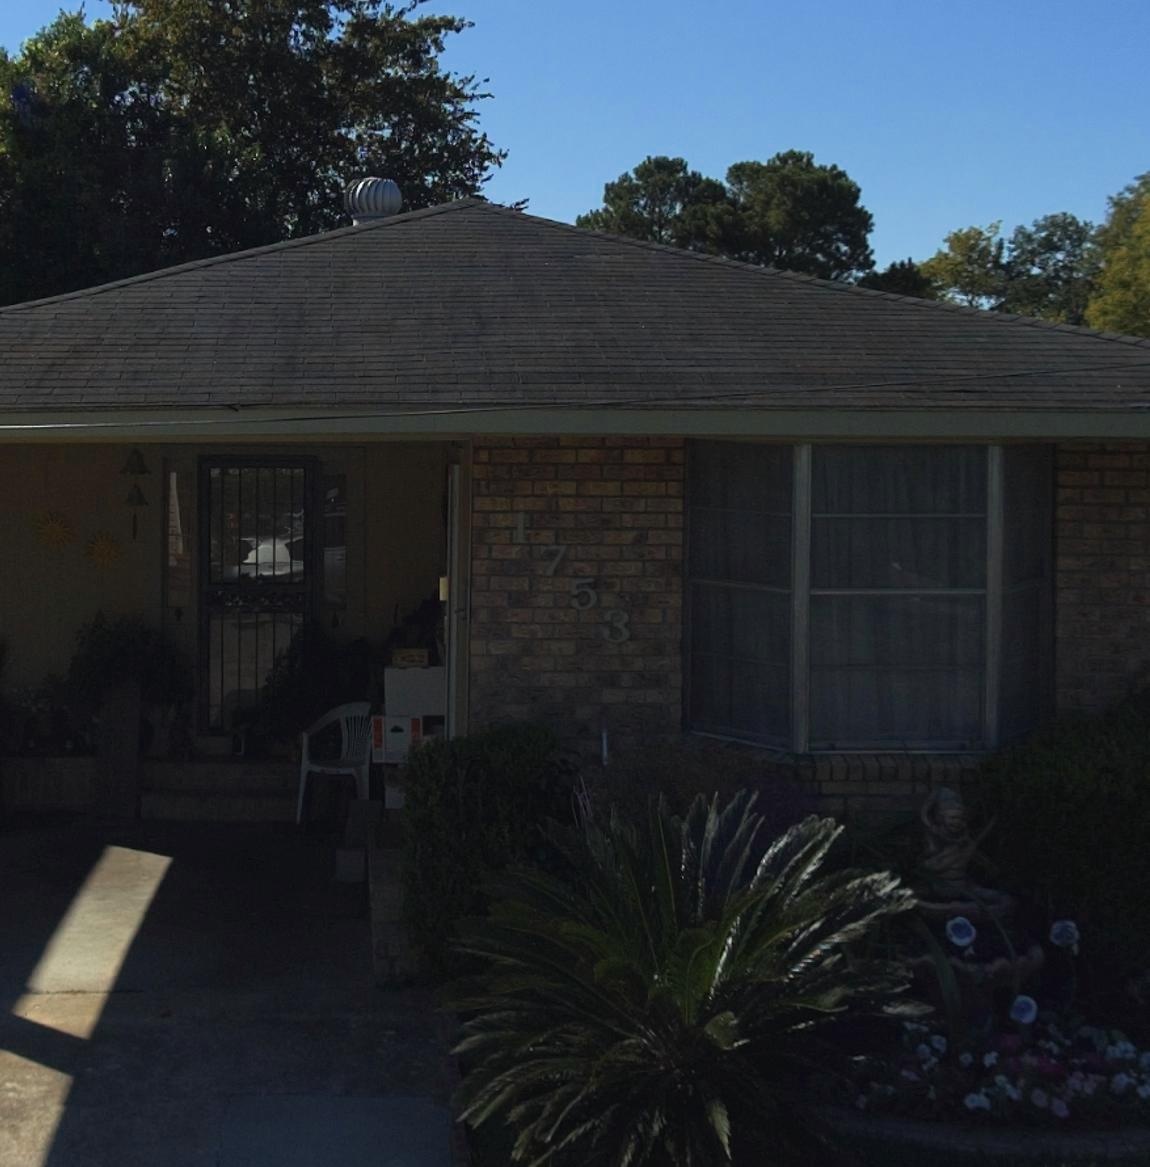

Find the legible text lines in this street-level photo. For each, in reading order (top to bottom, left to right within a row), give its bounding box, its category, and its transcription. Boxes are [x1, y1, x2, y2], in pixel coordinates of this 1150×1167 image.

[509, 507, 633, 646] StreetNumber: 1753